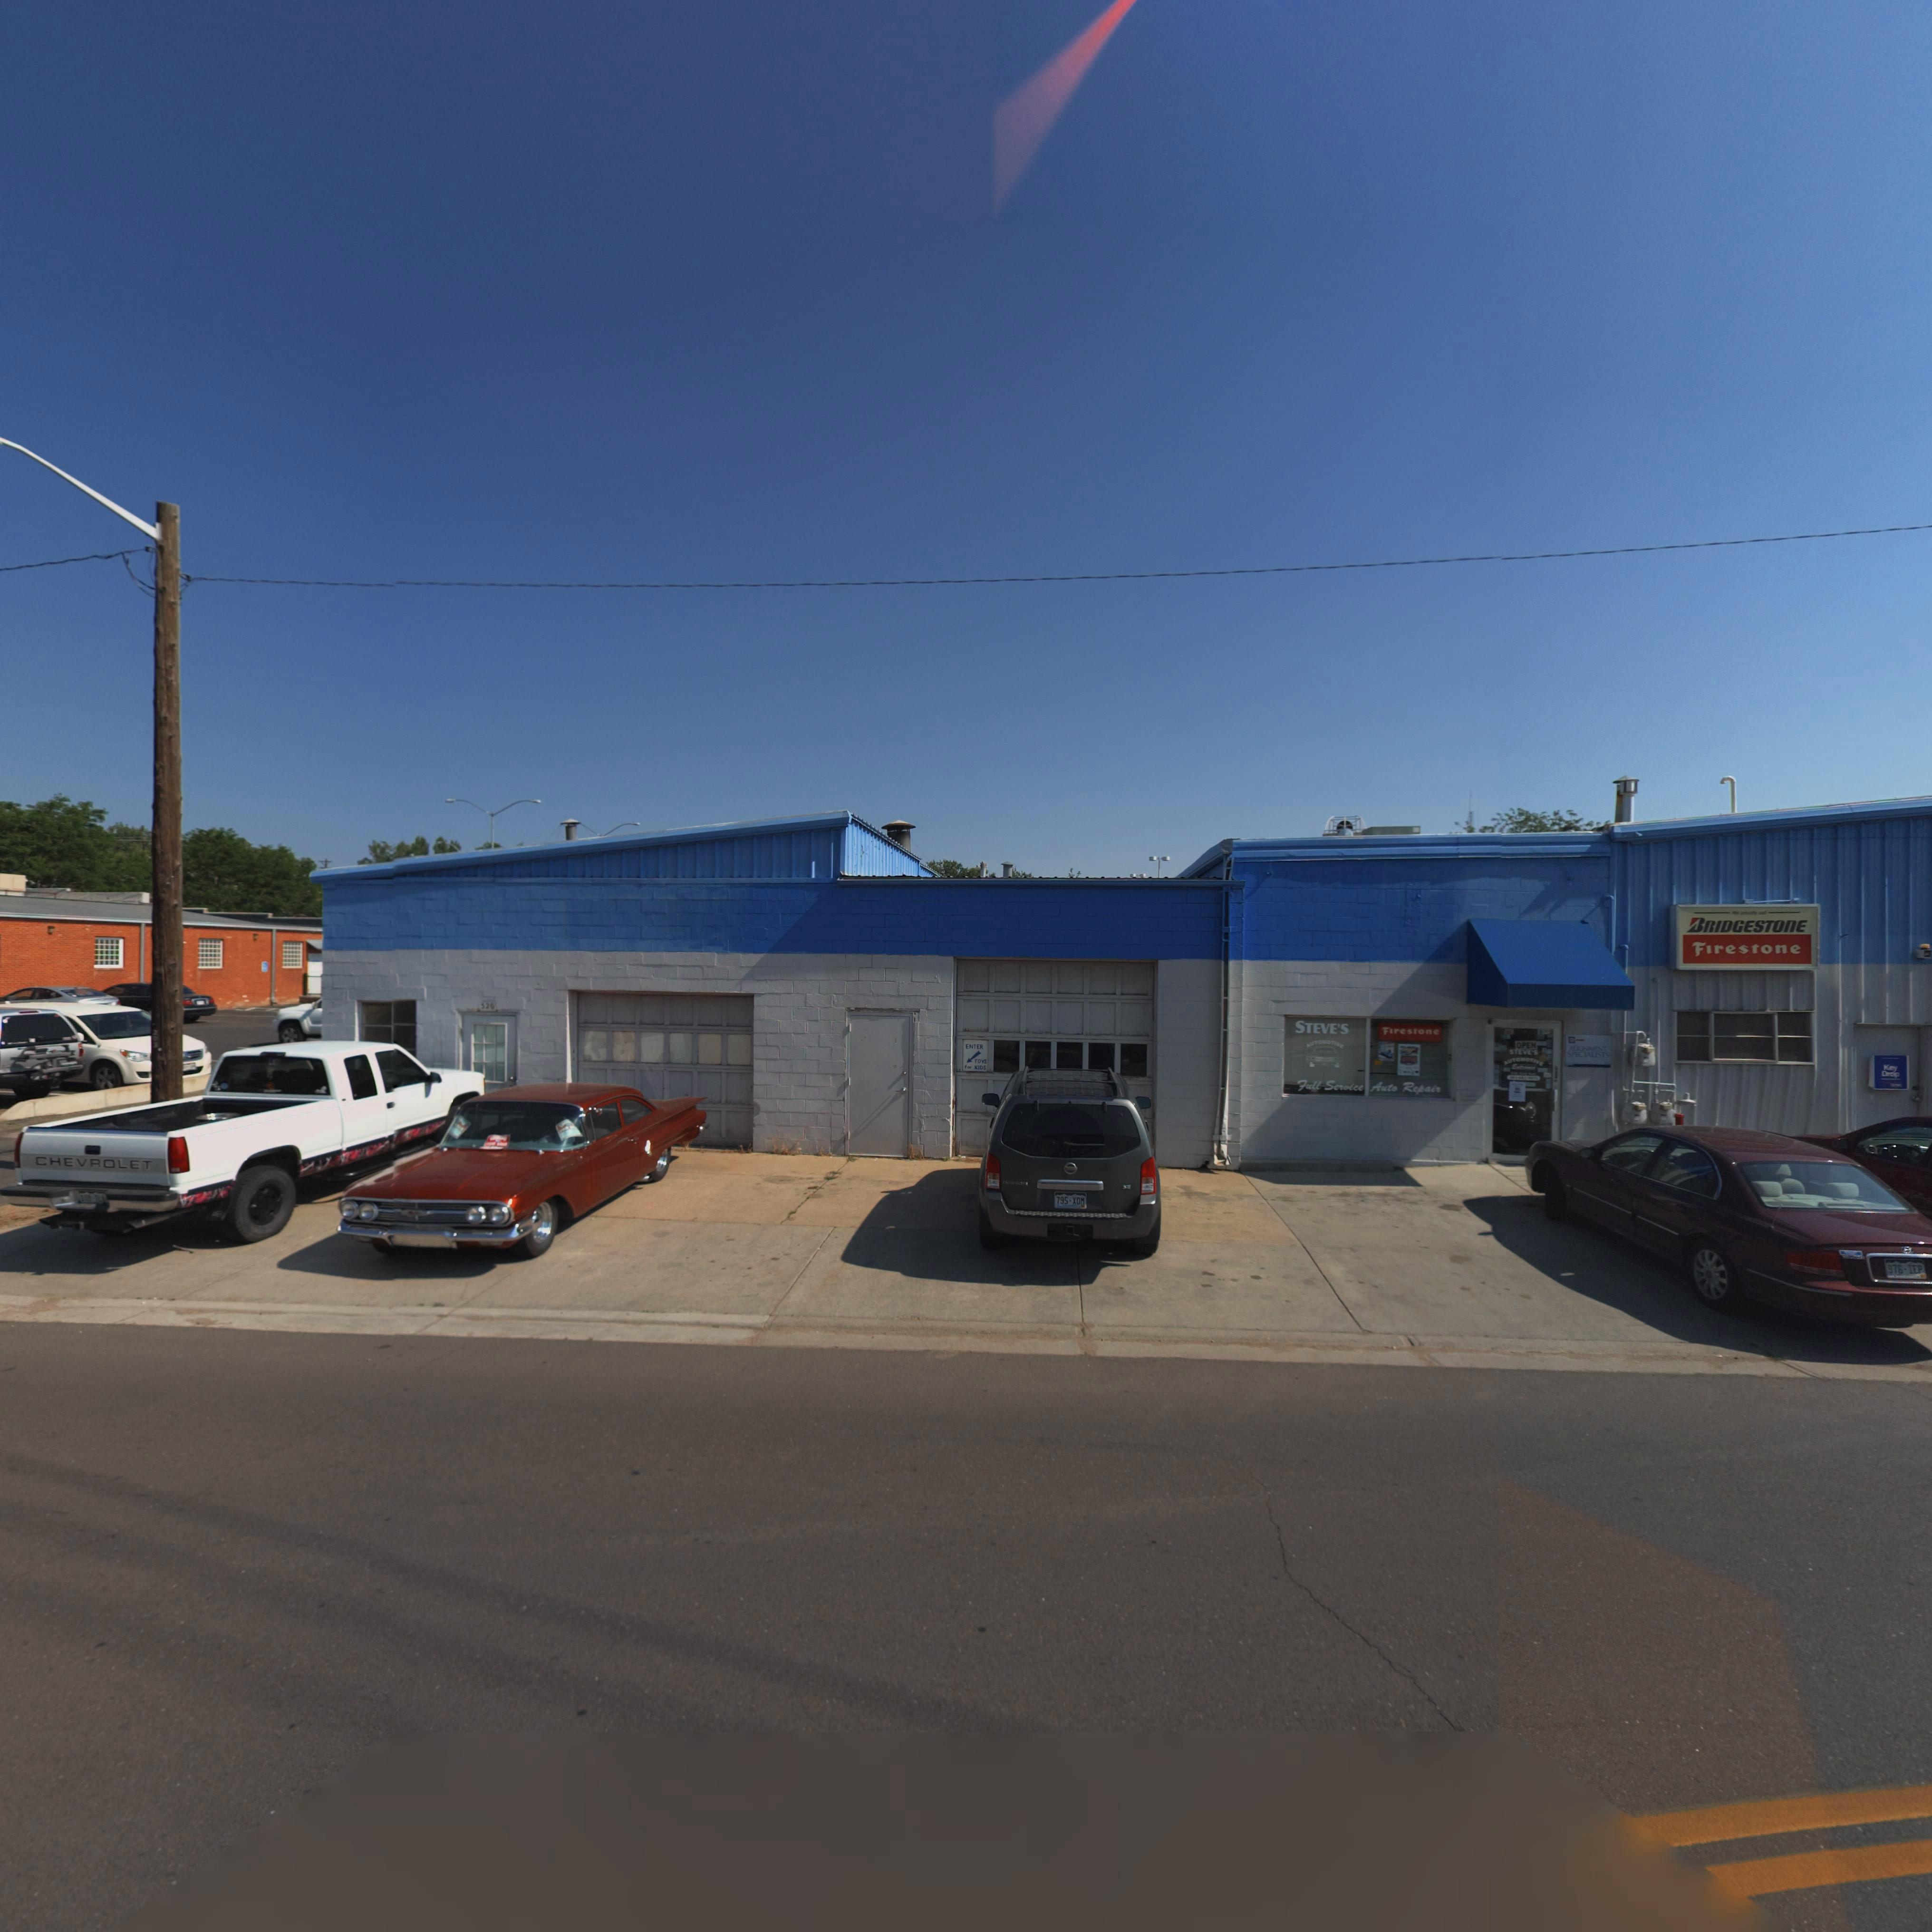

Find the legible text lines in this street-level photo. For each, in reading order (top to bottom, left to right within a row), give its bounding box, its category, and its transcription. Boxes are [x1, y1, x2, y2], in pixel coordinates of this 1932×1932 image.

[481, 1002, 495, 1010] StreetNumber: 520
[1294, 1020, 1350, 1035] BusinessName: STEVE'S
[1306, 1039, 1344, 1049] BusinessName: AUTOMOTIVE
[1509, 1048, 1538, 1055] BusinessName: STEVE'S
[1504, 1057, 1544, 1066] BusinessName: AUTOMOTIVE